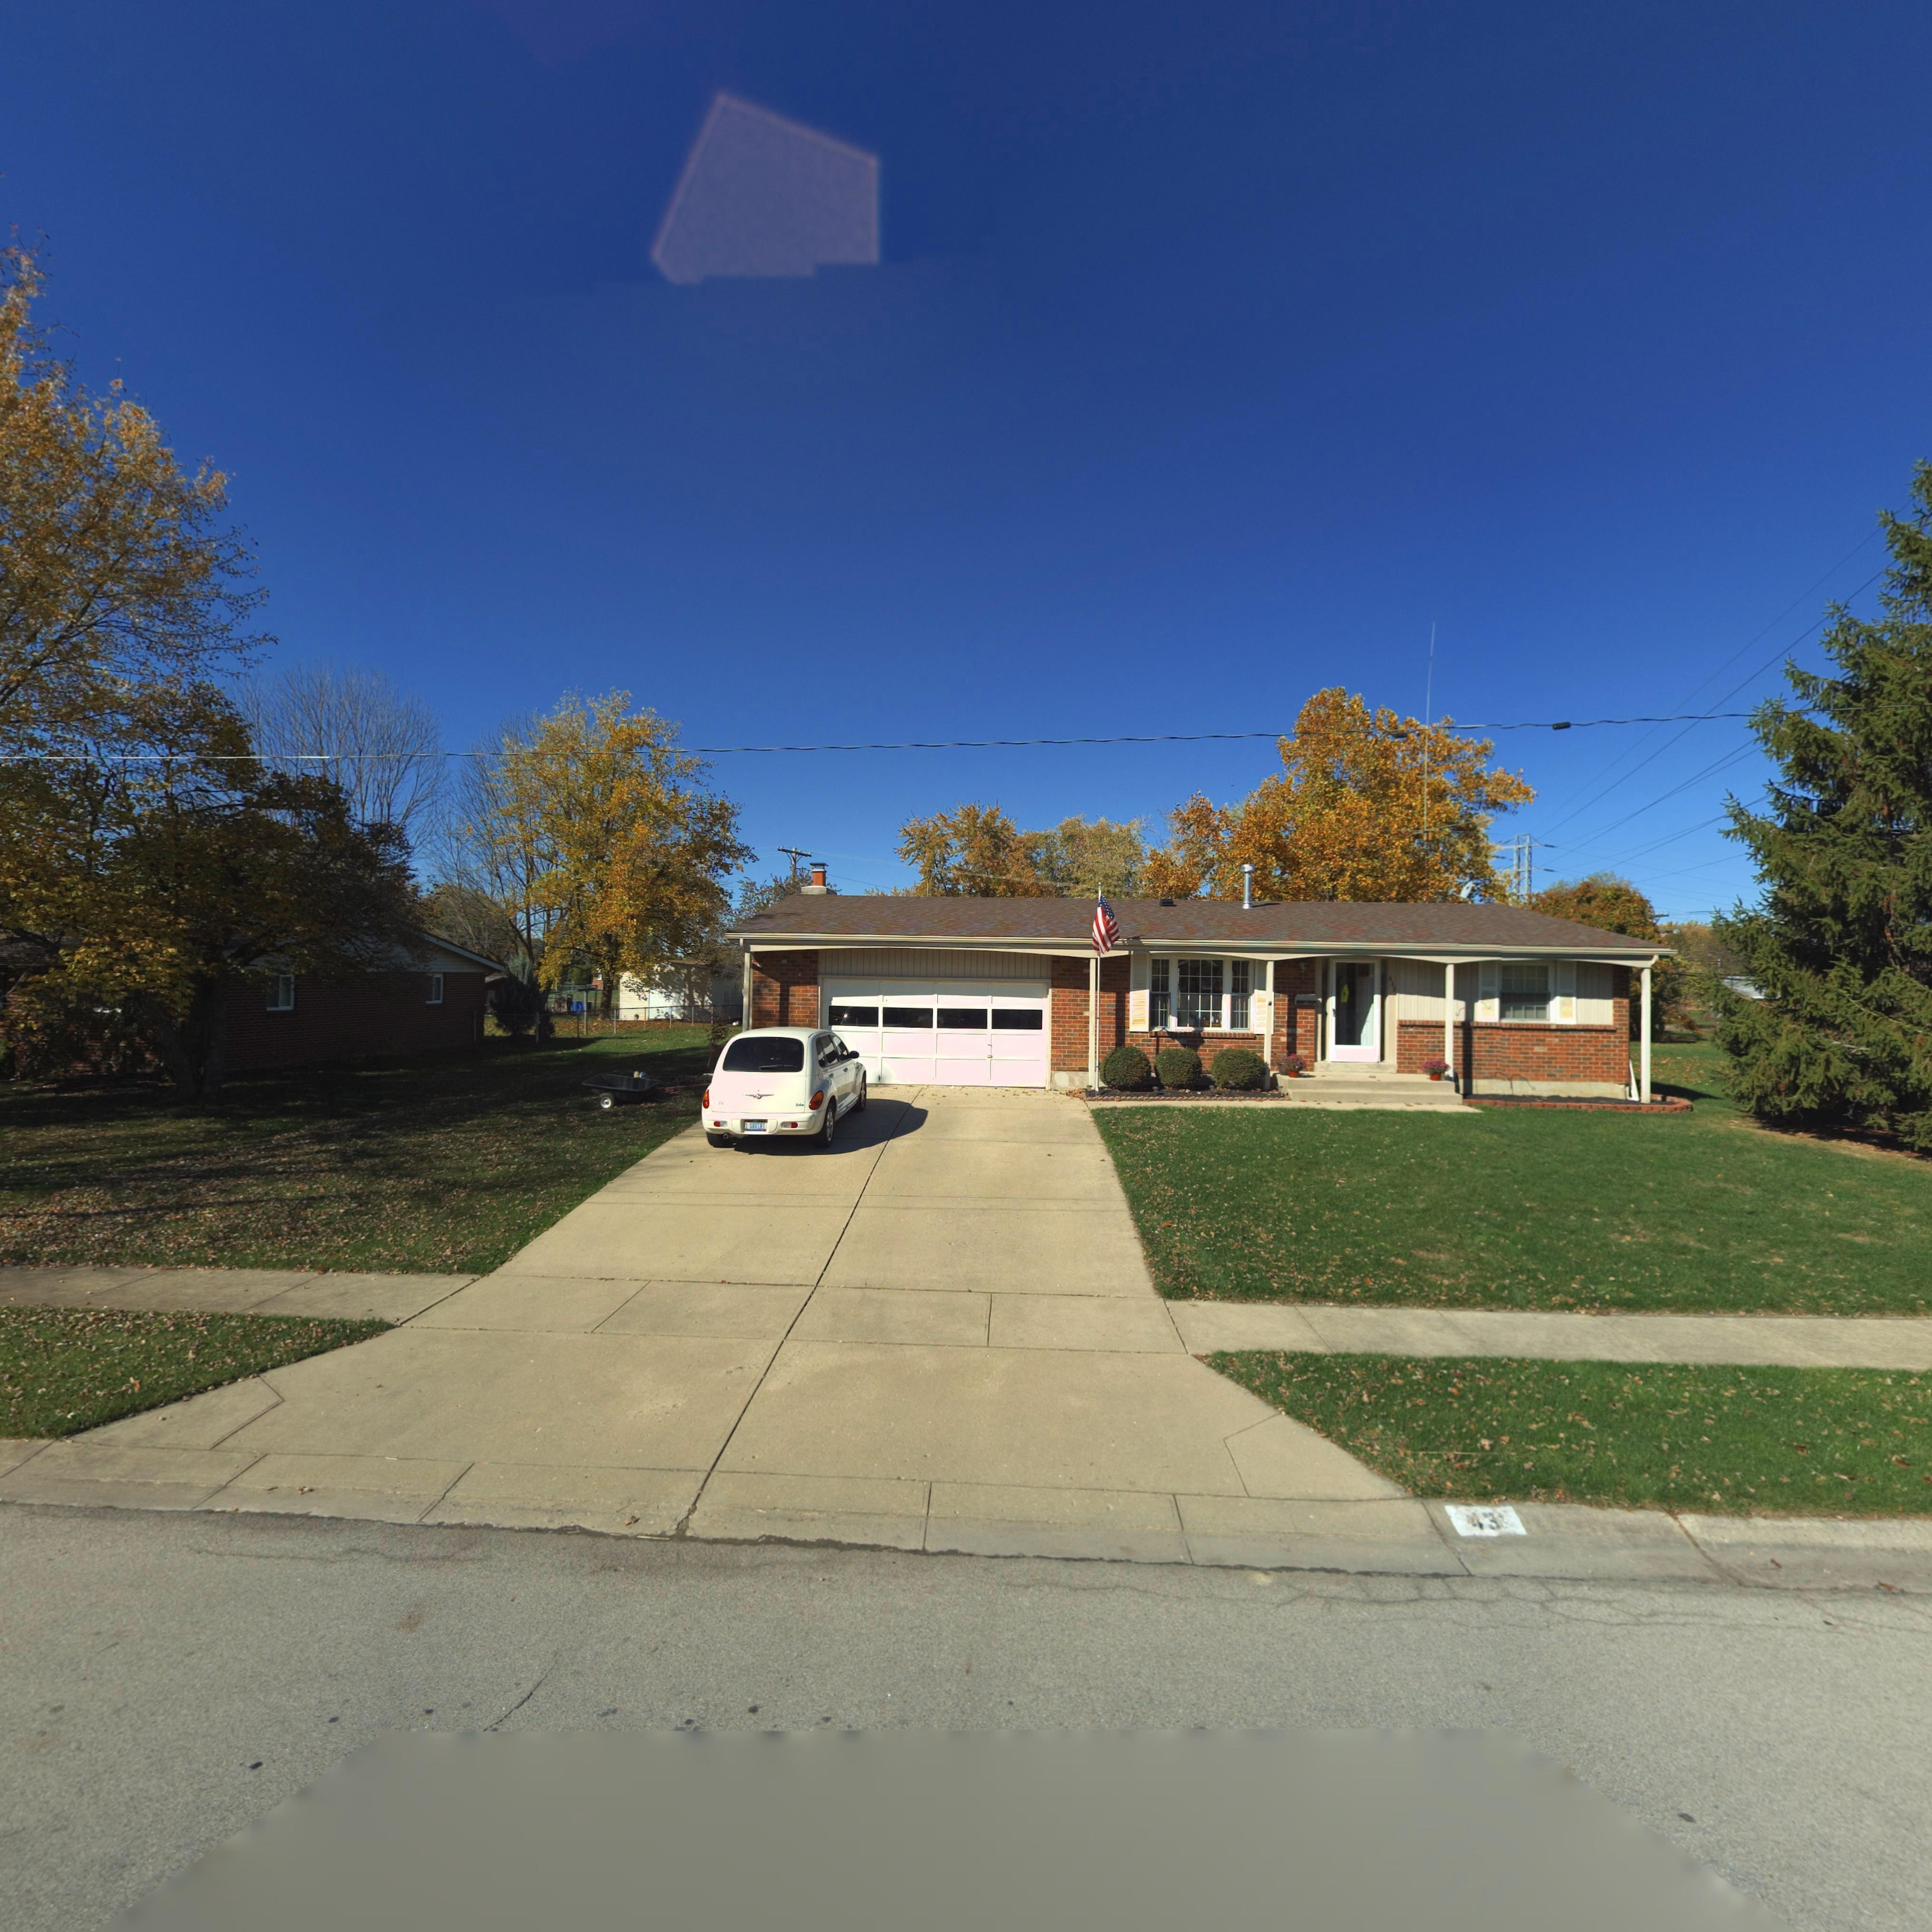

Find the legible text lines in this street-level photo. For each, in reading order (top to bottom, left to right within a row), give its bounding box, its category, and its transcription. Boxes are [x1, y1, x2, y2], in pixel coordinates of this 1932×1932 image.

[1468, 1510, 1505, 1533] StreetNumber: 43